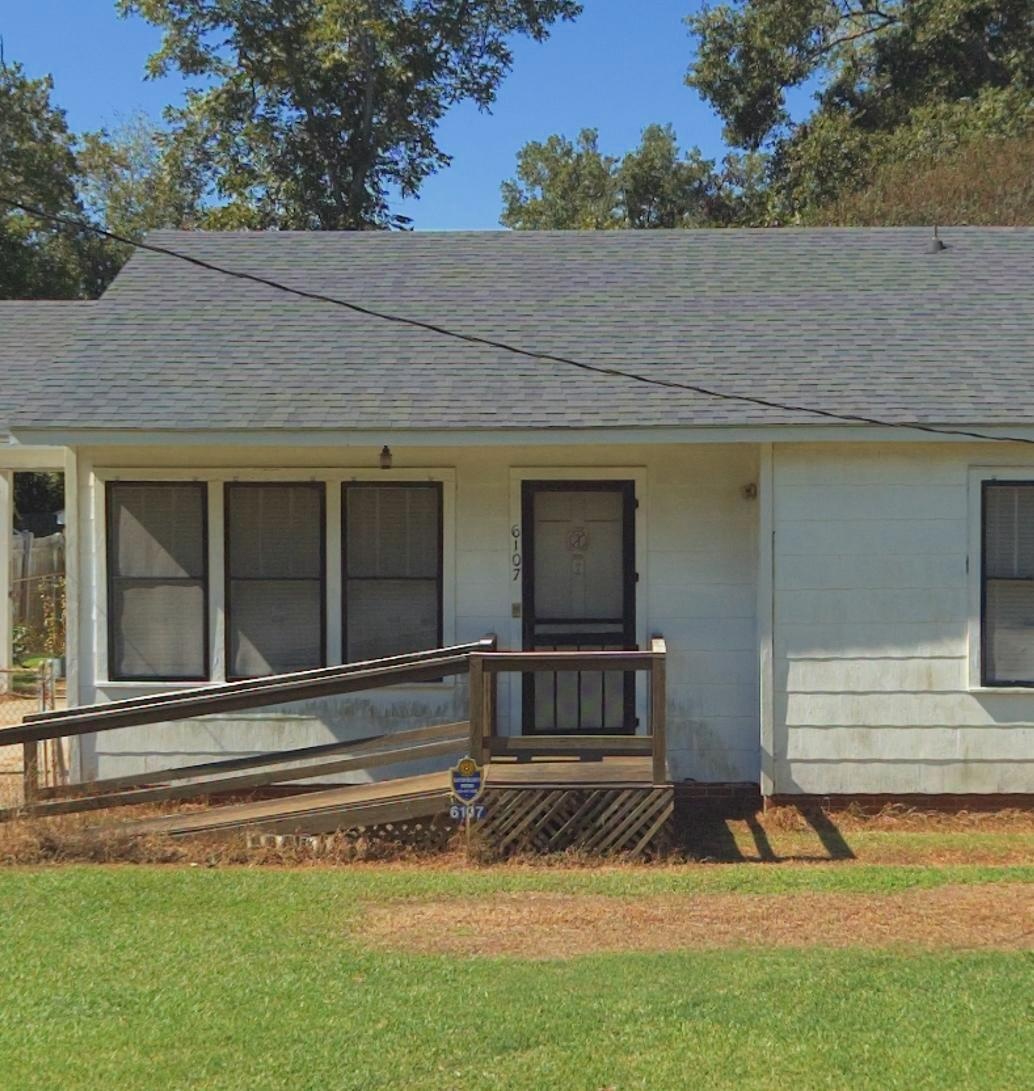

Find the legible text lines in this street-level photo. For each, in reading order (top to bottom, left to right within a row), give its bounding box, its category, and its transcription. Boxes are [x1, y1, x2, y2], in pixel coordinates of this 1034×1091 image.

[511, 523, 522, 582] StreetNumber: 6107
[449, 805, 485, 818] StreetNumber: 6107